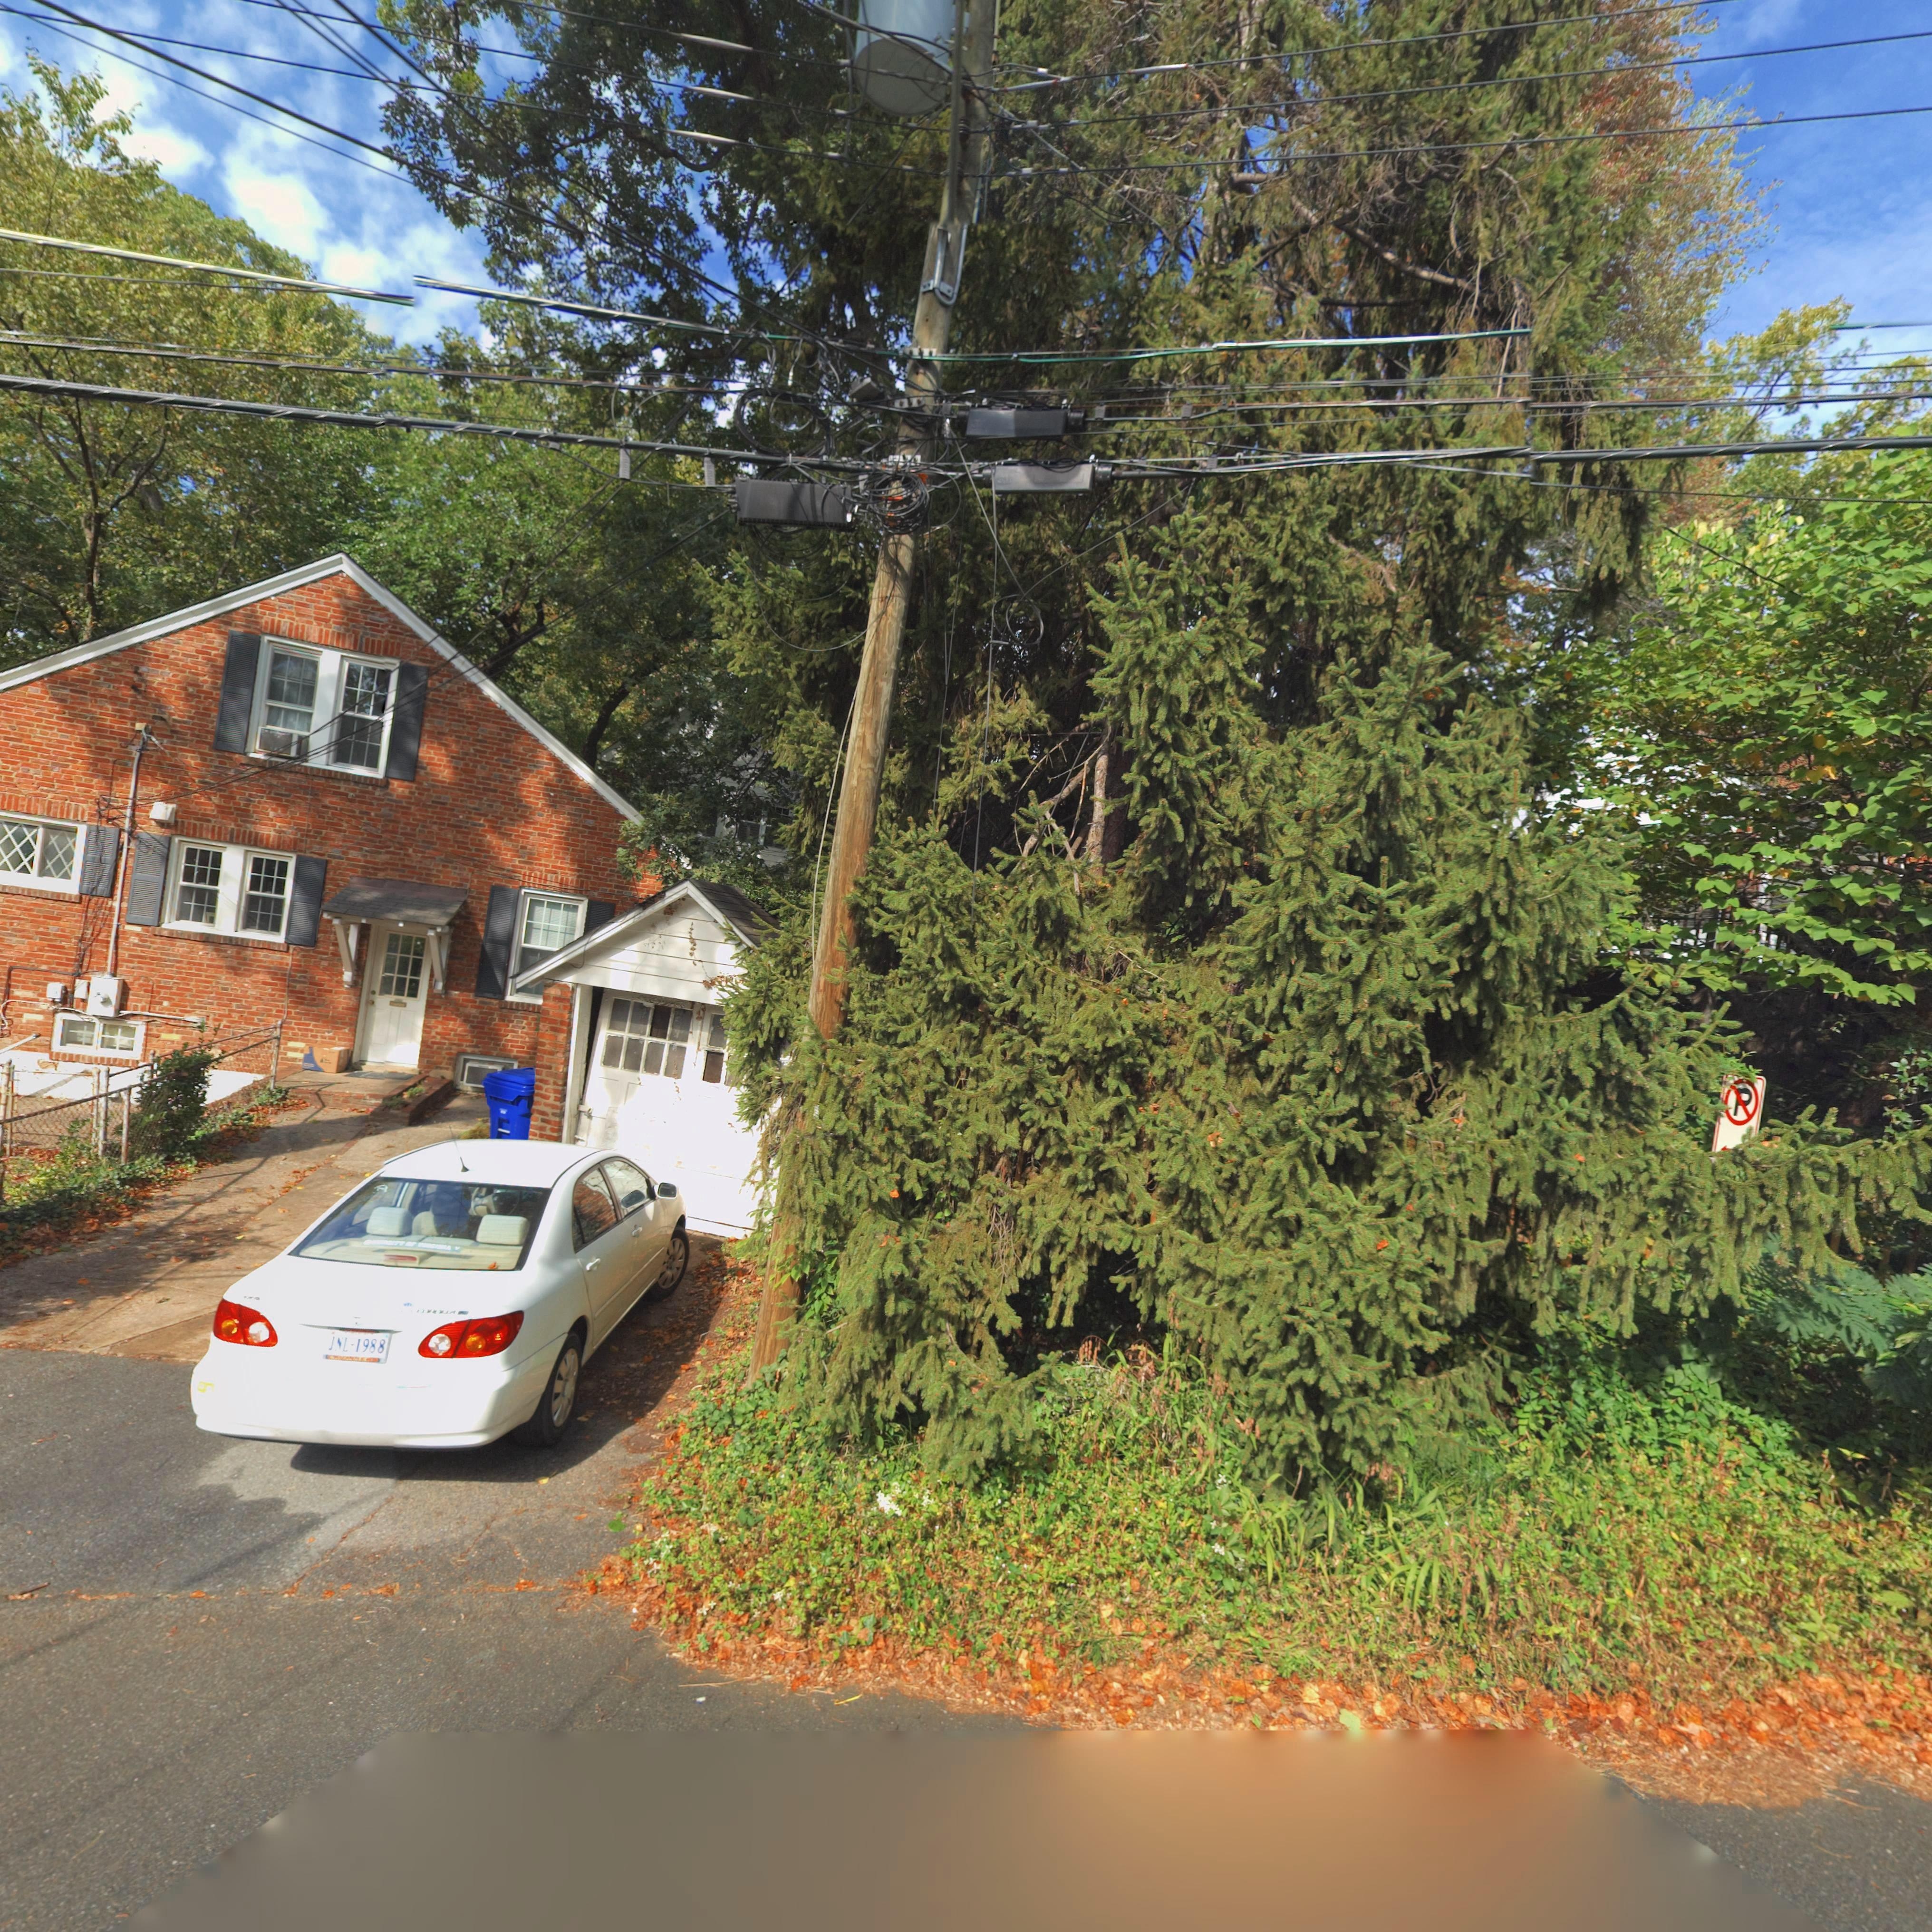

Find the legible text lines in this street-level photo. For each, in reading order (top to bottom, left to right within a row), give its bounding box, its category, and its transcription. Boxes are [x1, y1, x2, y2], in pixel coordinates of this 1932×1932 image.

[354, 1336, 388, 1355] None: 1988